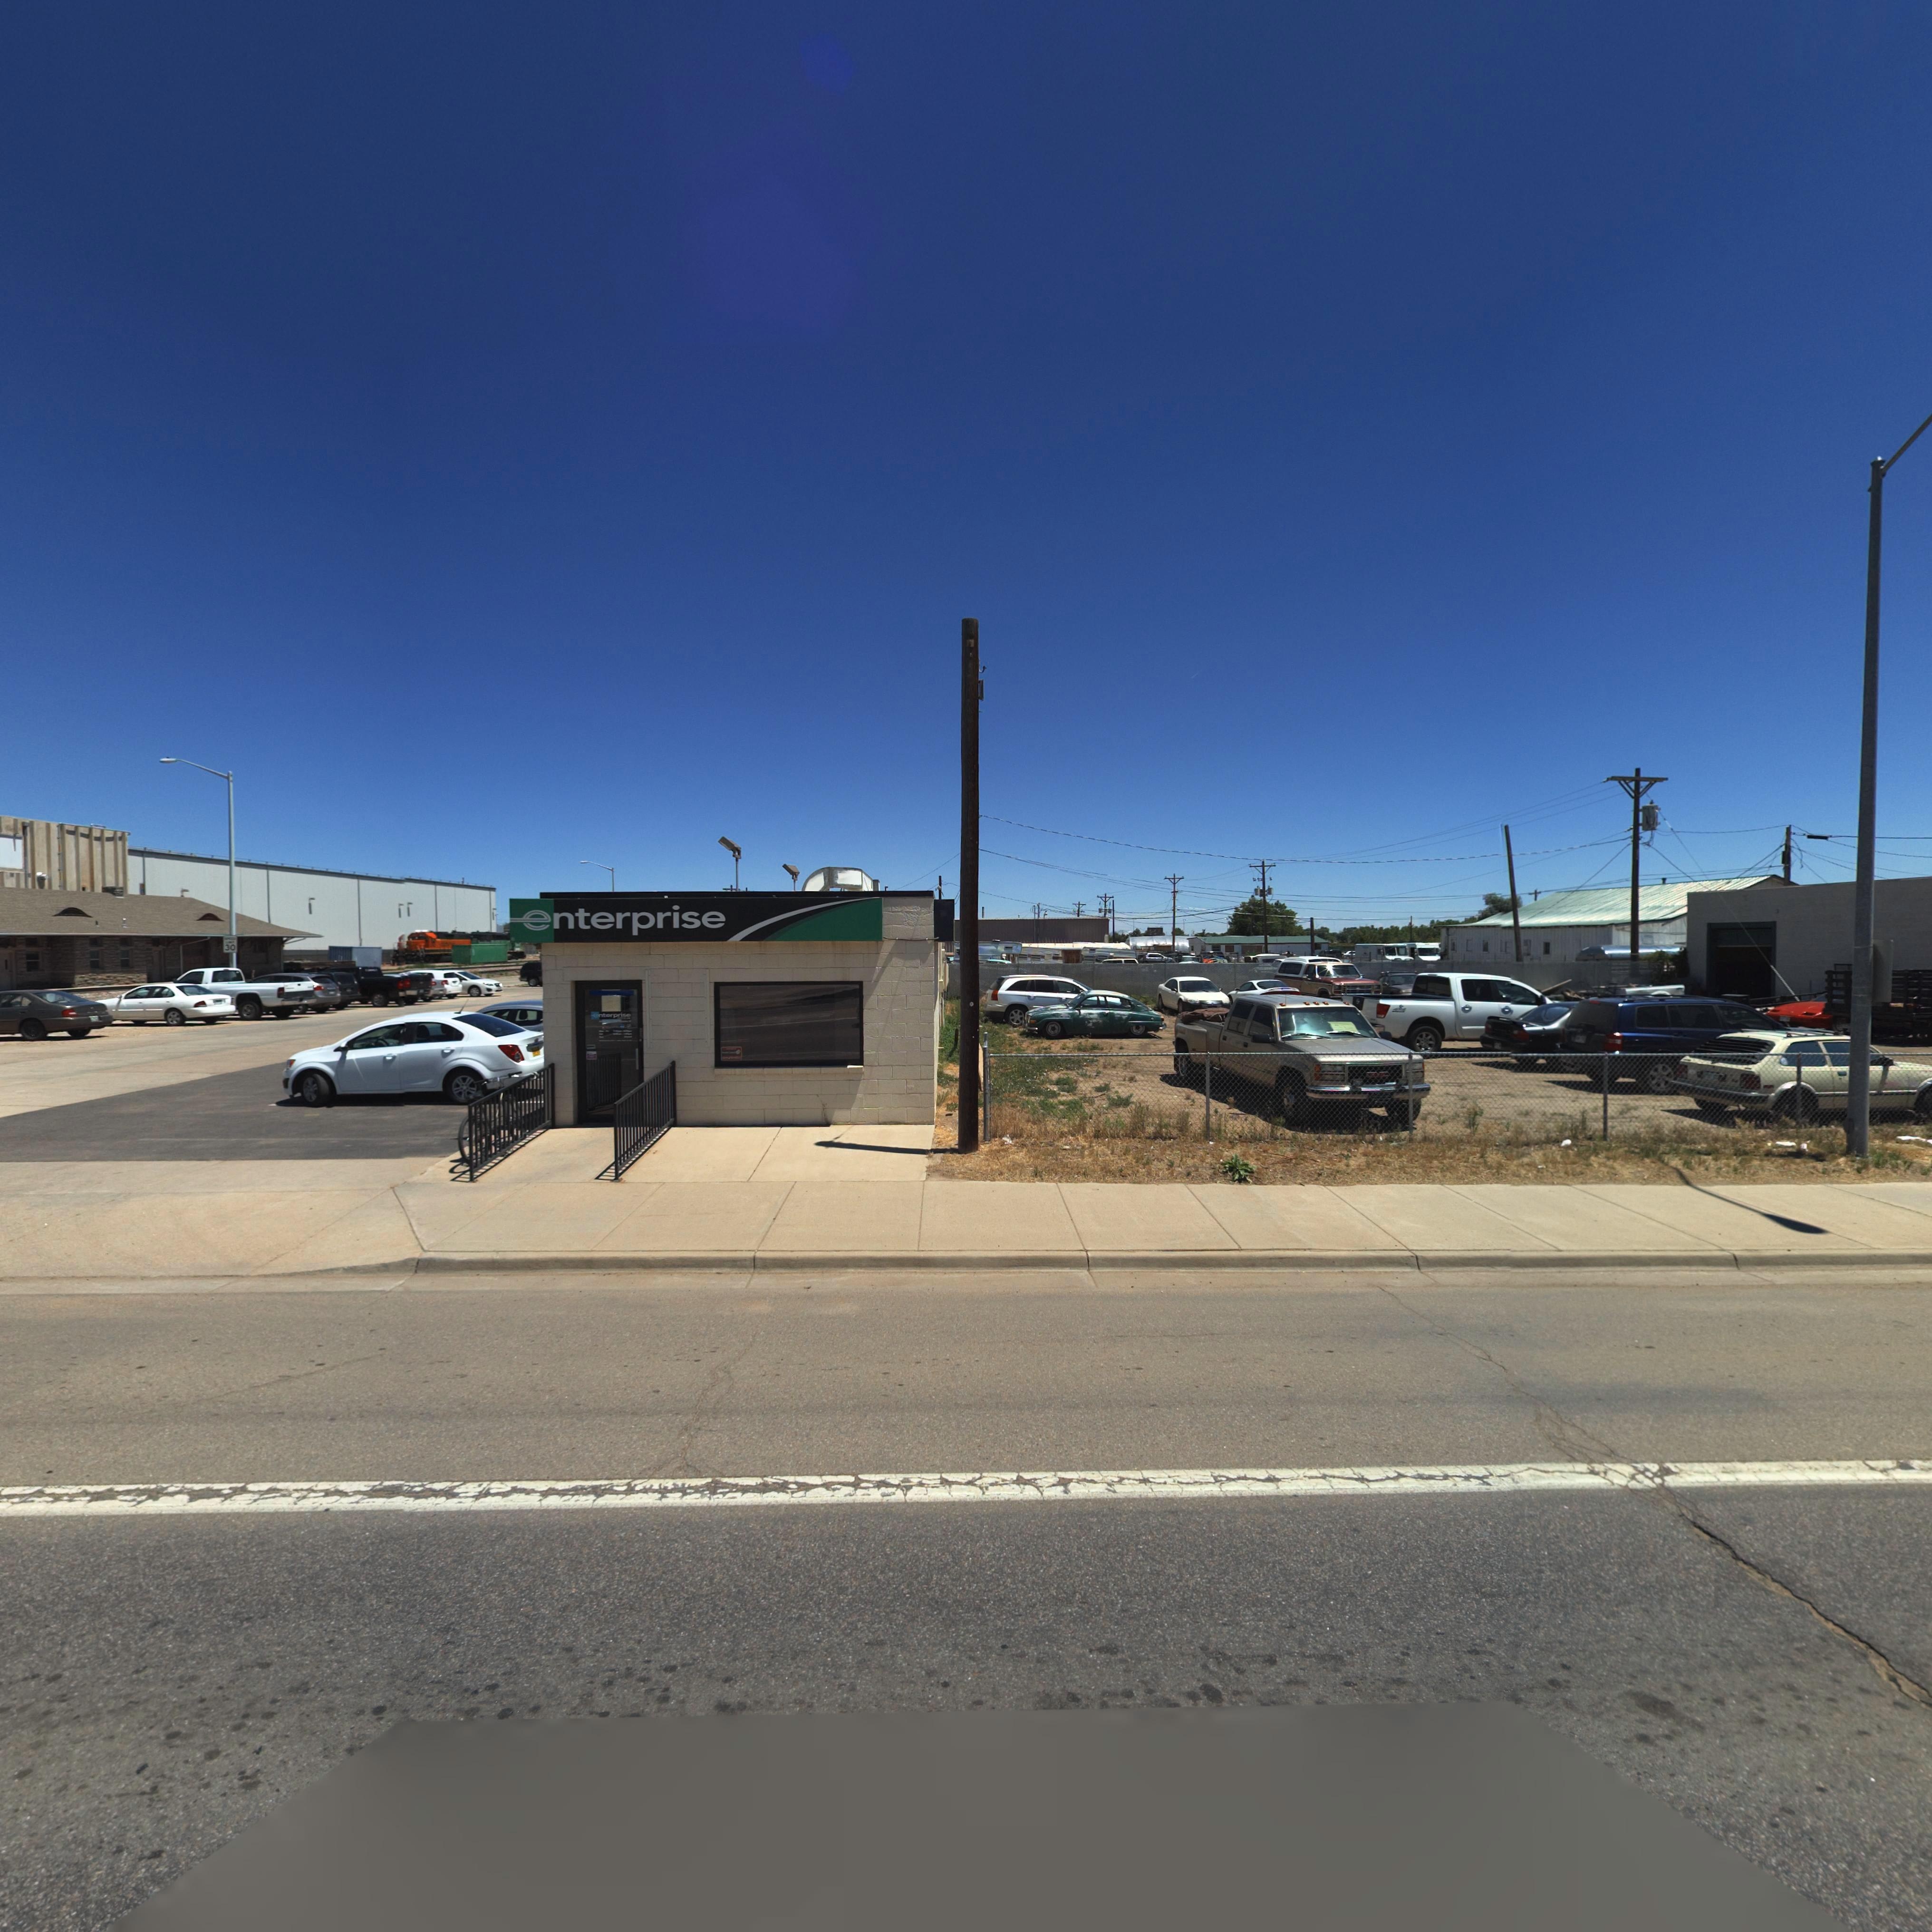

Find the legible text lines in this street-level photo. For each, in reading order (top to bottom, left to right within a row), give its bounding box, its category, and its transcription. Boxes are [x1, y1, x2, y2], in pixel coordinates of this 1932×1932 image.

[521, 903, 727, 937] BusinessName: enterprise
[592, 1012, 631, 1018] BusinessName: enterpris*